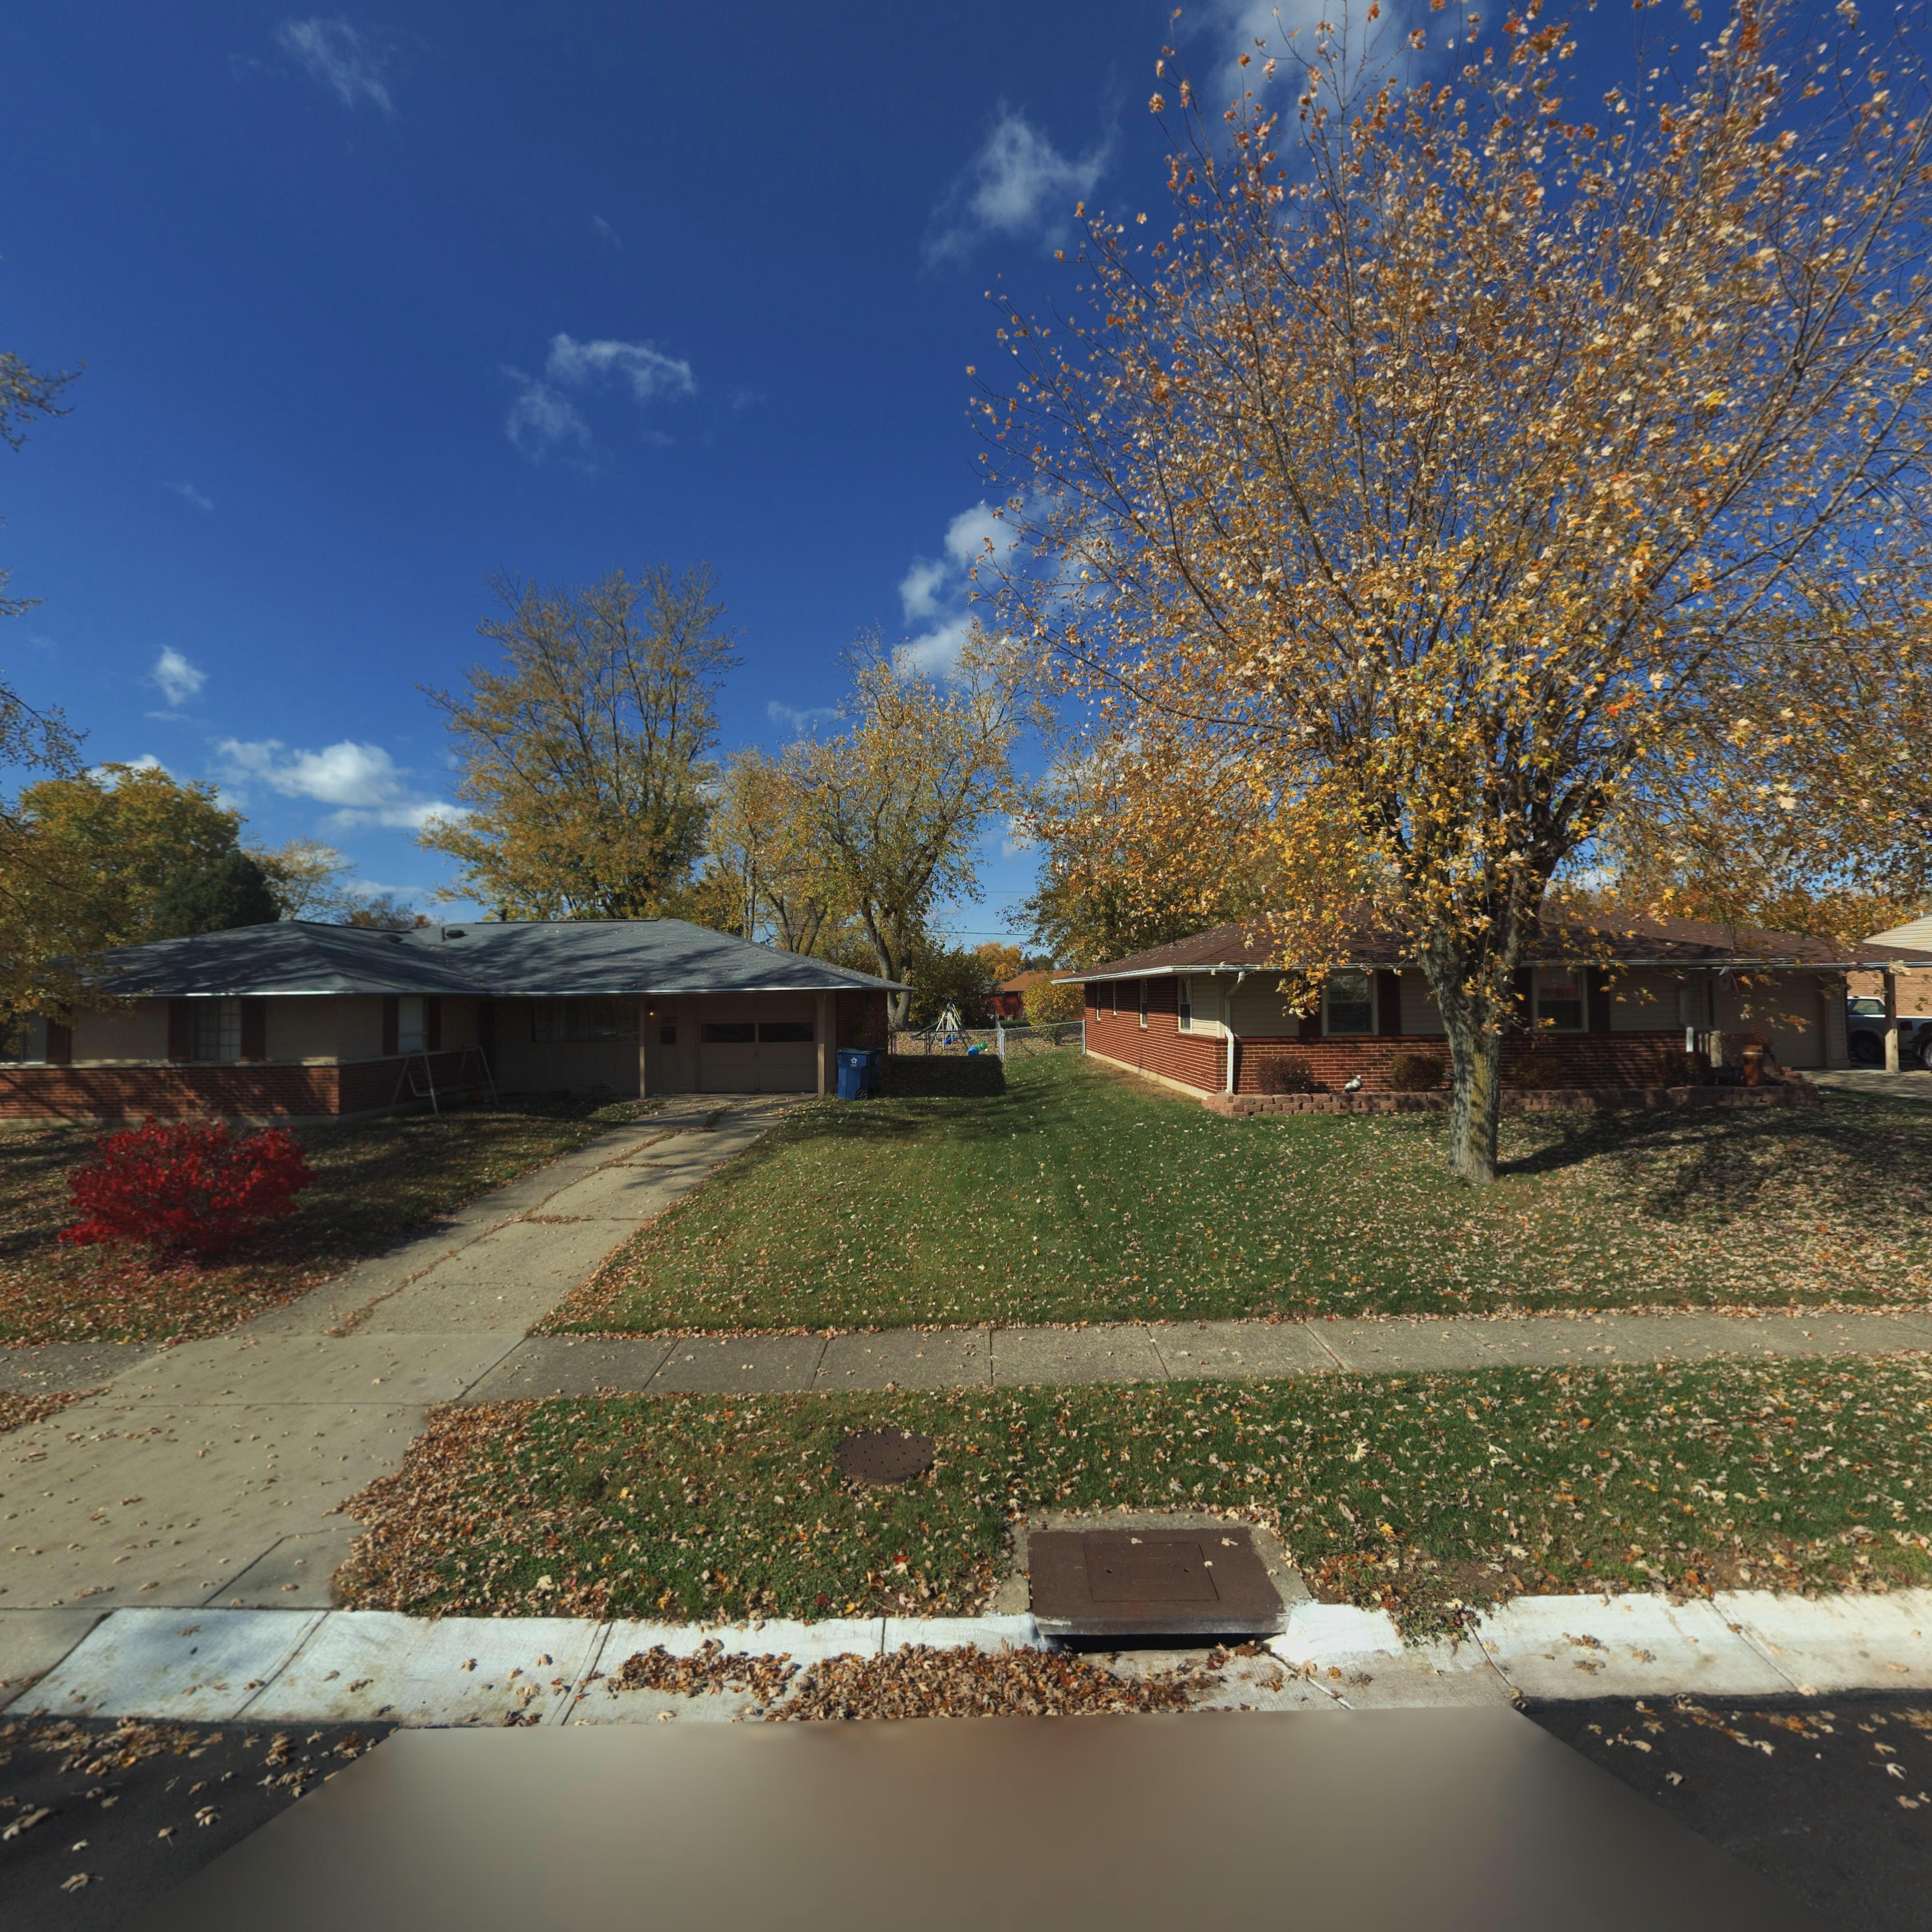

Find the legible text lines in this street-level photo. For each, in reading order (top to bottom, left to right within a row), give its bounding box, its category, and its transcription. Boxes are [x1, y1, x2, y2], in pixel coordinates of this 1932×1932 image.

[662, 1016, 678, 1024] StreetNumber: 7807